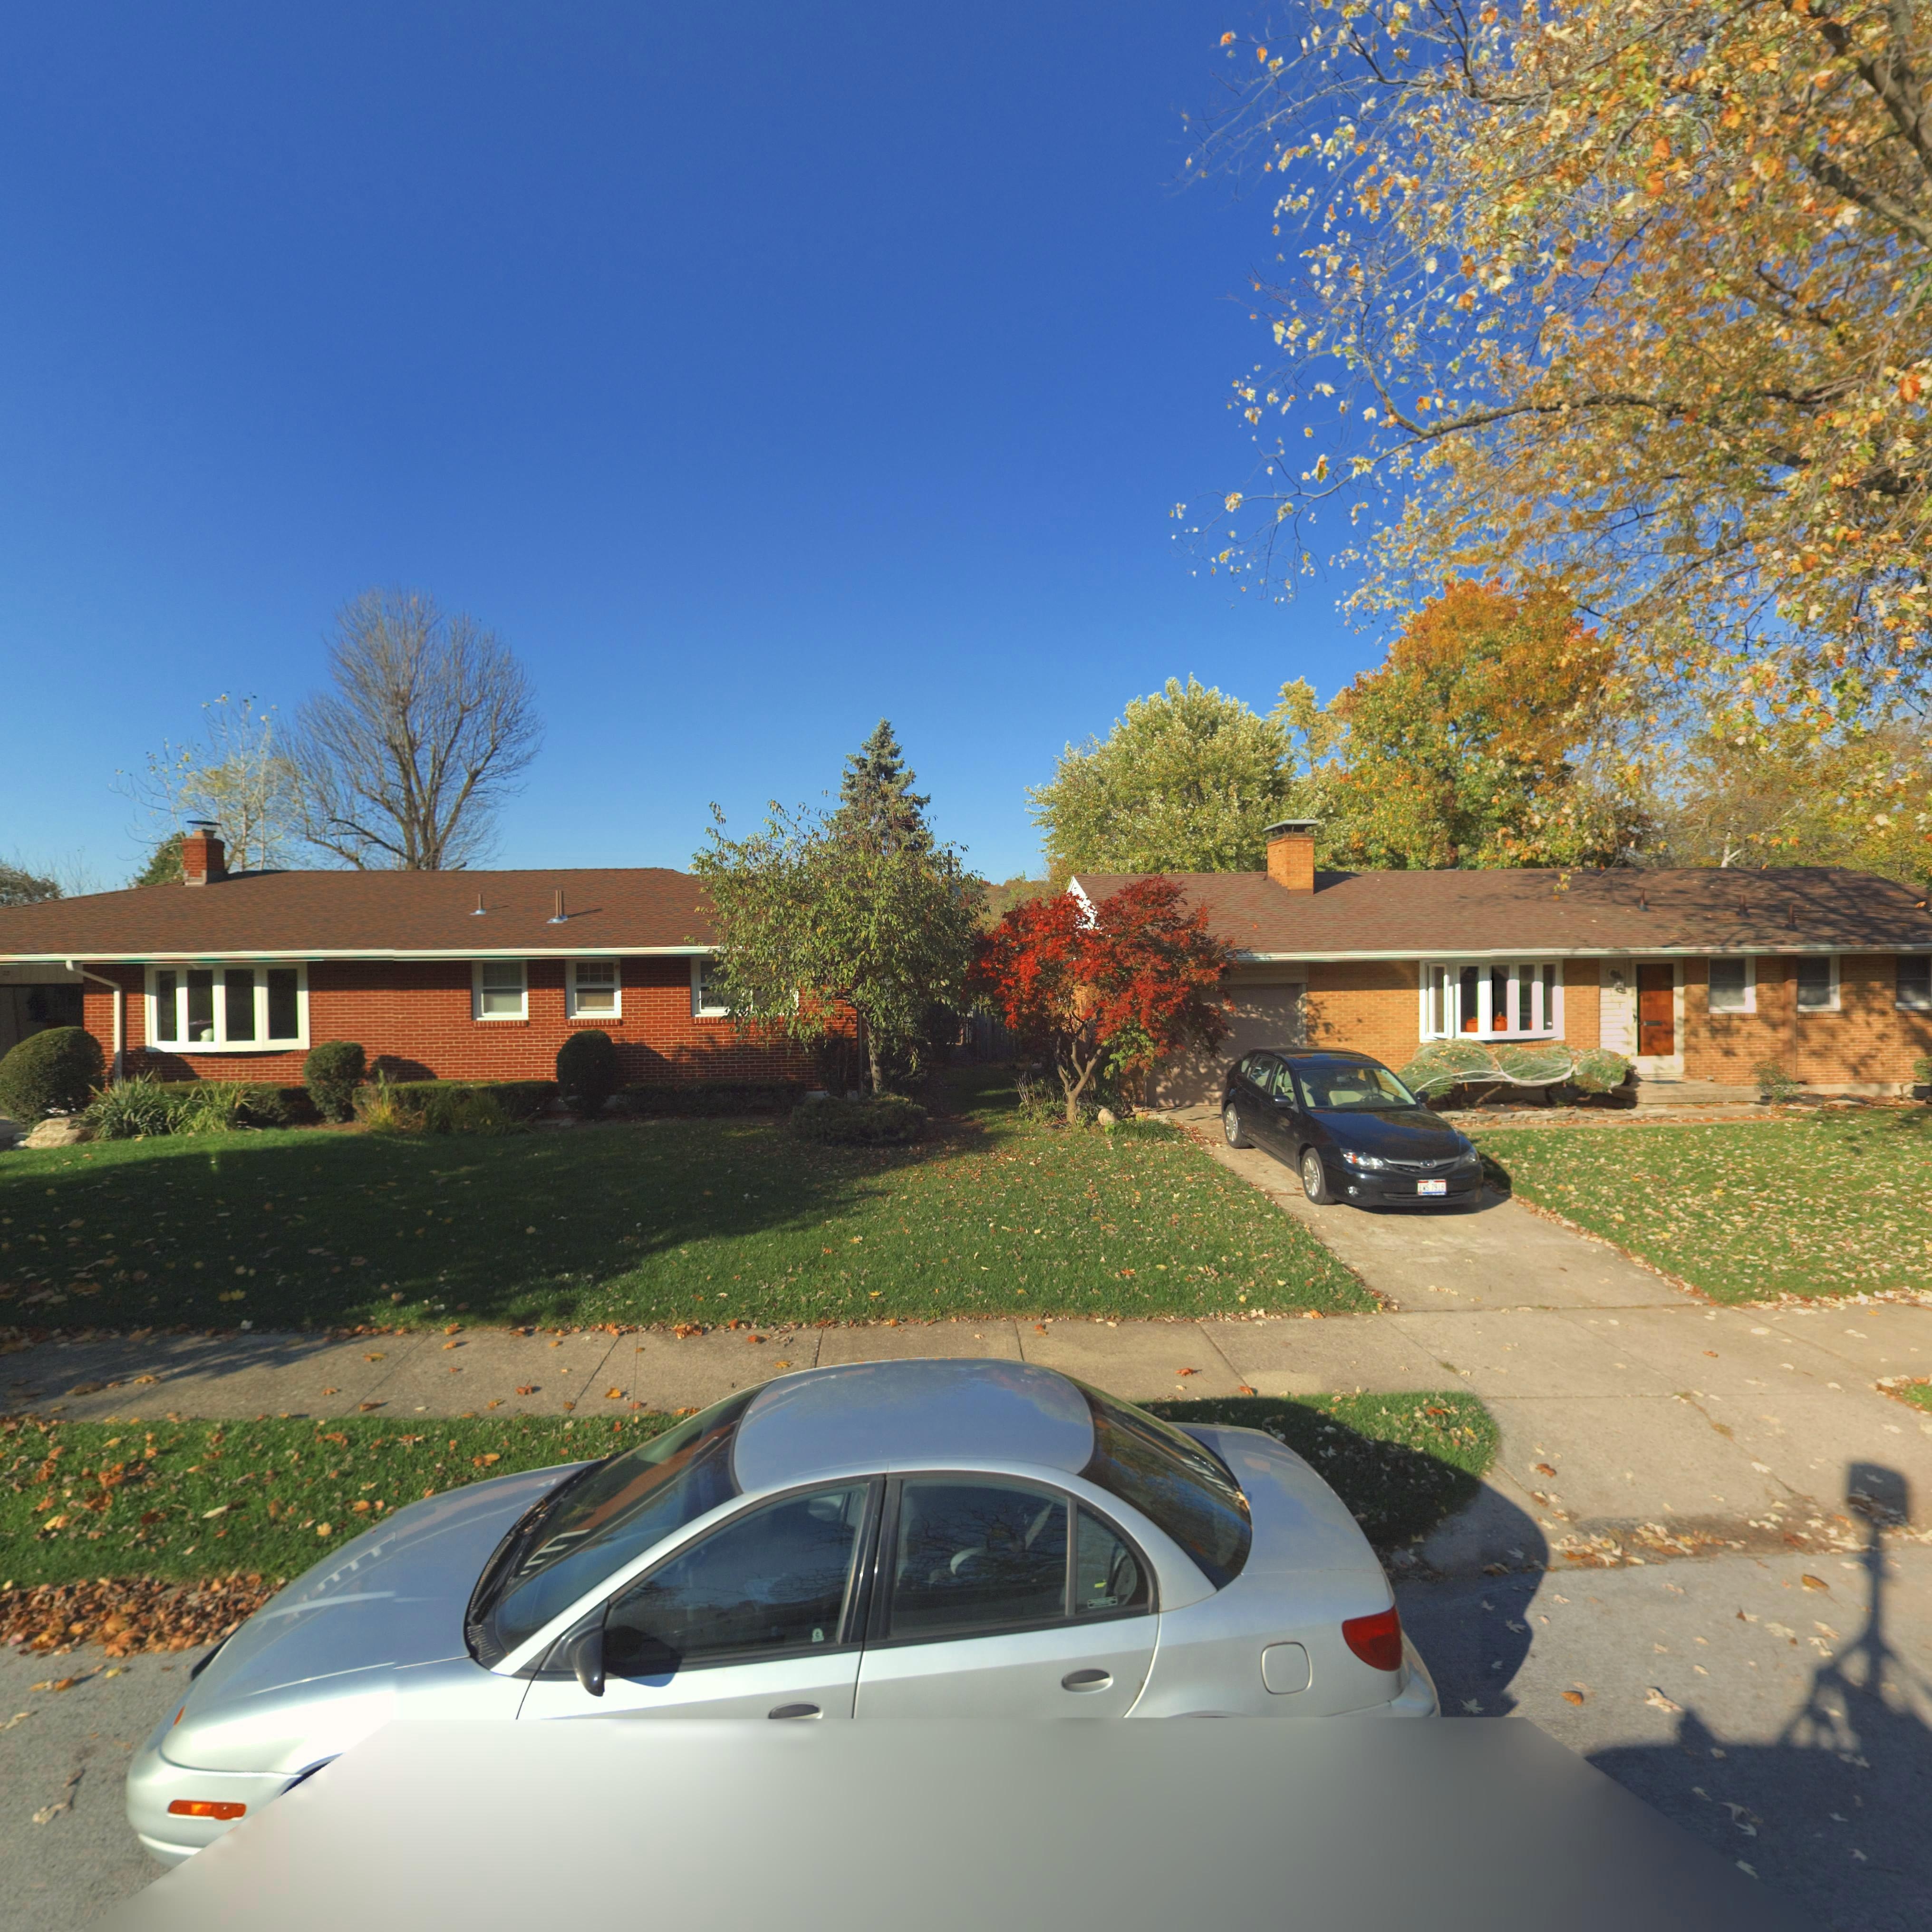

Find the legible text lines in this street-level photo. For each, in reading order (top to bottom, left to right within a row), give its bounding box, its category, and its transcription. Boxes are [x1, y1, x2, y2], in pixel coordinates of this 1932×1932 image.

[2, 970, 10, 976] StreetNumber: 23
[1608, 988, 1618, 995] StreetNumber: 1*